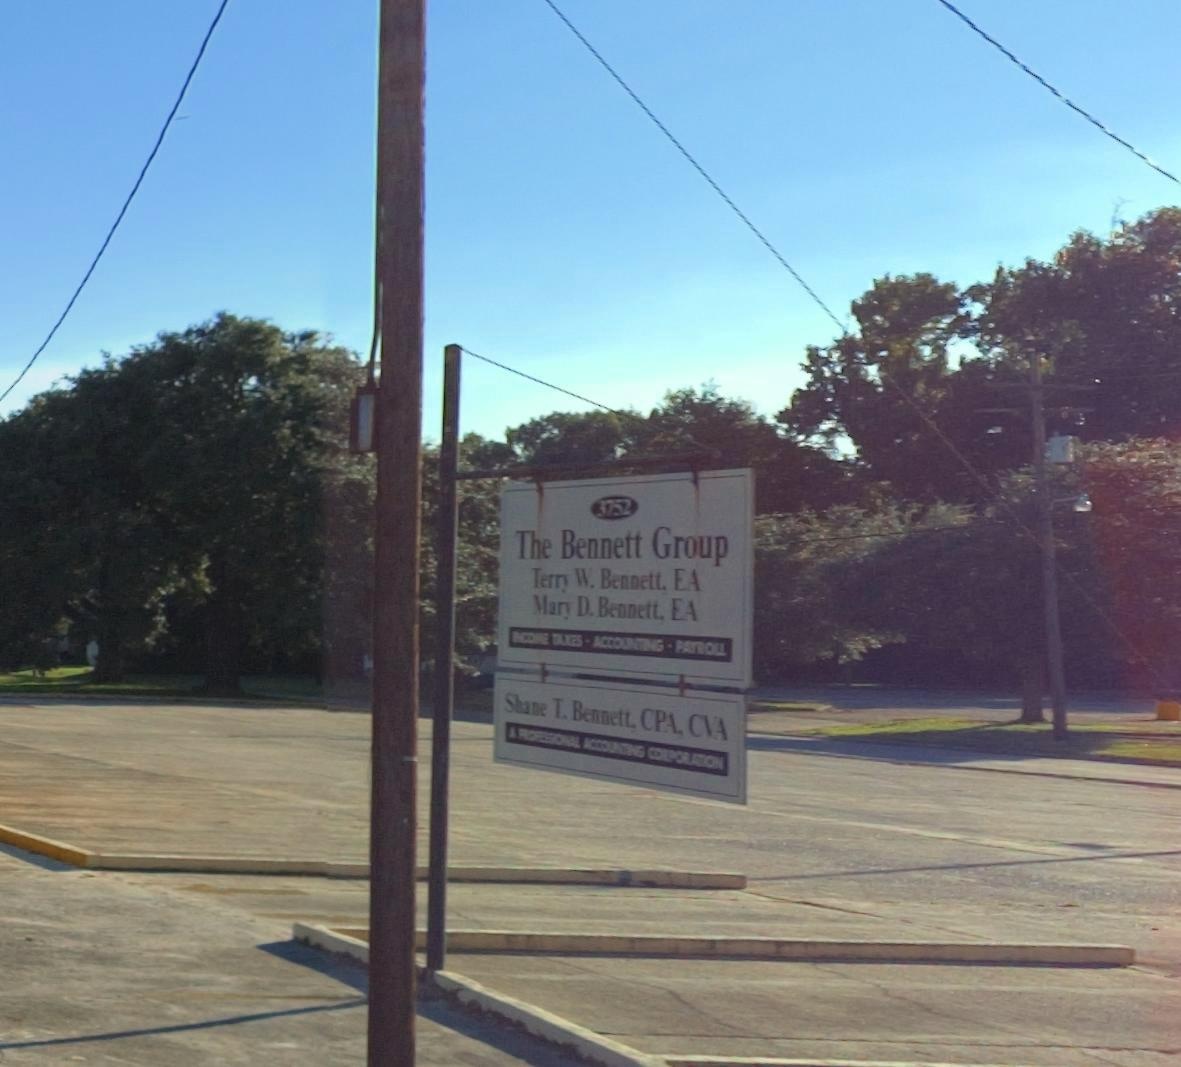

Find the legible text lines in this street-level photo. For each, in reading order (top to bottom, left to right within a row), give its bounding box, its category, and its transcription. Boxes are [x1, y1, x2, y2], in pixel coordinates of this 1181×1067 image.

[595, 498, 632, 518] StreetNumber: 3752
[514, 525, 730, 569] BusinessName: The Bennet Group
[527, 564, 703, 594] None: Terry W. Bennett, EA
[529, 592, 704, 626] None: Mary D. Bennett, EA
[509, 629, 730, 660] None: INCOME TAXES - ACCOUNTING - PAYROLL
[501, 689, 732, 745] None: Shane T. Bennett, CPA, CVA
[506, 724, 727, 771] None: A PROFESSIONAL ACCOUNTING CORPORATION